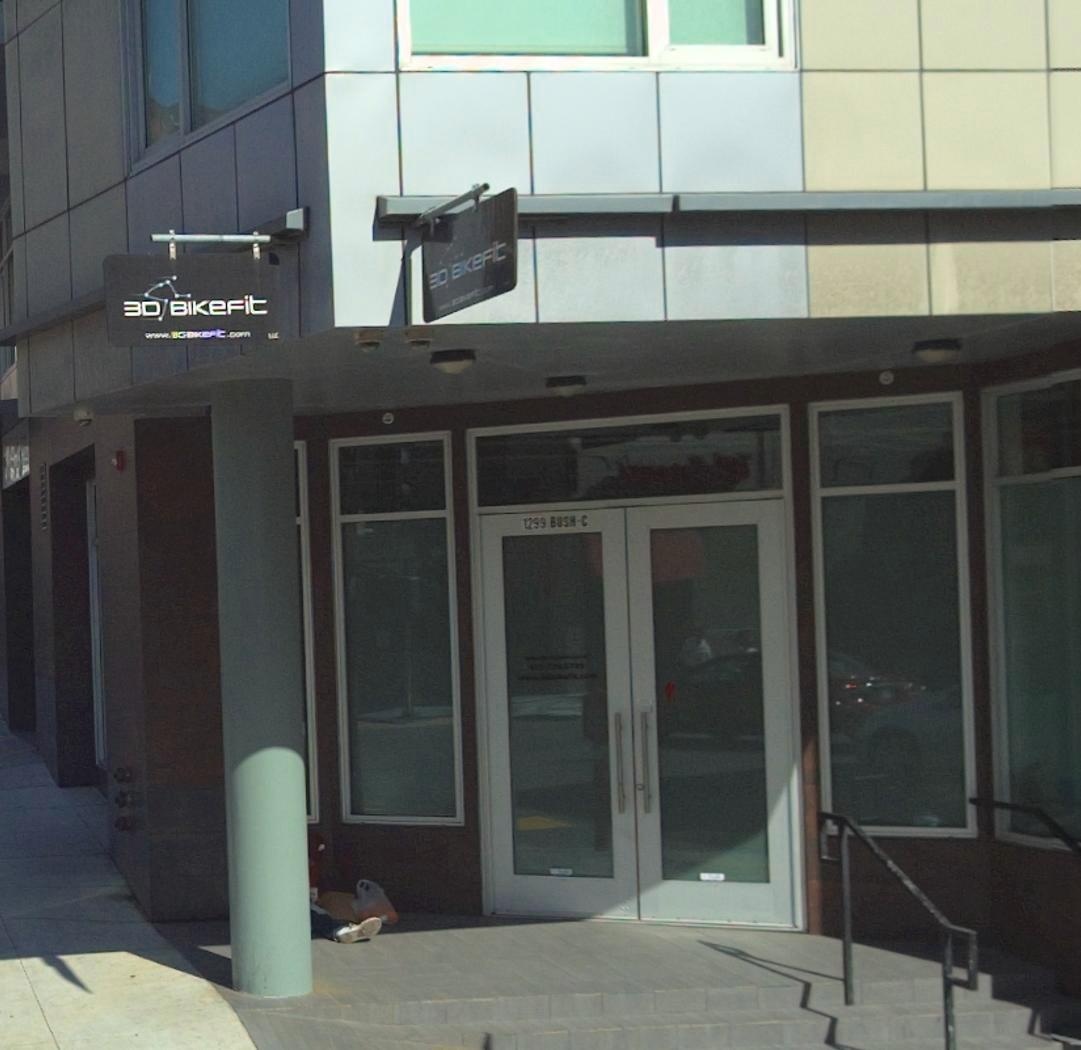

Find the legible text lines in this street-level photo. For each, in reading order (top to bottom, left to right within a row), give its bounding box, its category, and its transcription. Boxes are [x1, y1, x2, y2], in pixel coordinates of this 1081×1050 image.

[427, 239, 509, 293] BusinessName: 3D B*keFit
[121, 293, 270, 319] BusinessName: 3D BikeFit
[142, 328, 252, 340] None: www.******t.com
[521, 516, 548, 532] StreetNumber: 1299
[549, 514, 577, 529] StreetName: BUSH
[579, 513, 589, 529] StreetNumber: C
[527, 662, 585, 670] None: 415 ****5**9